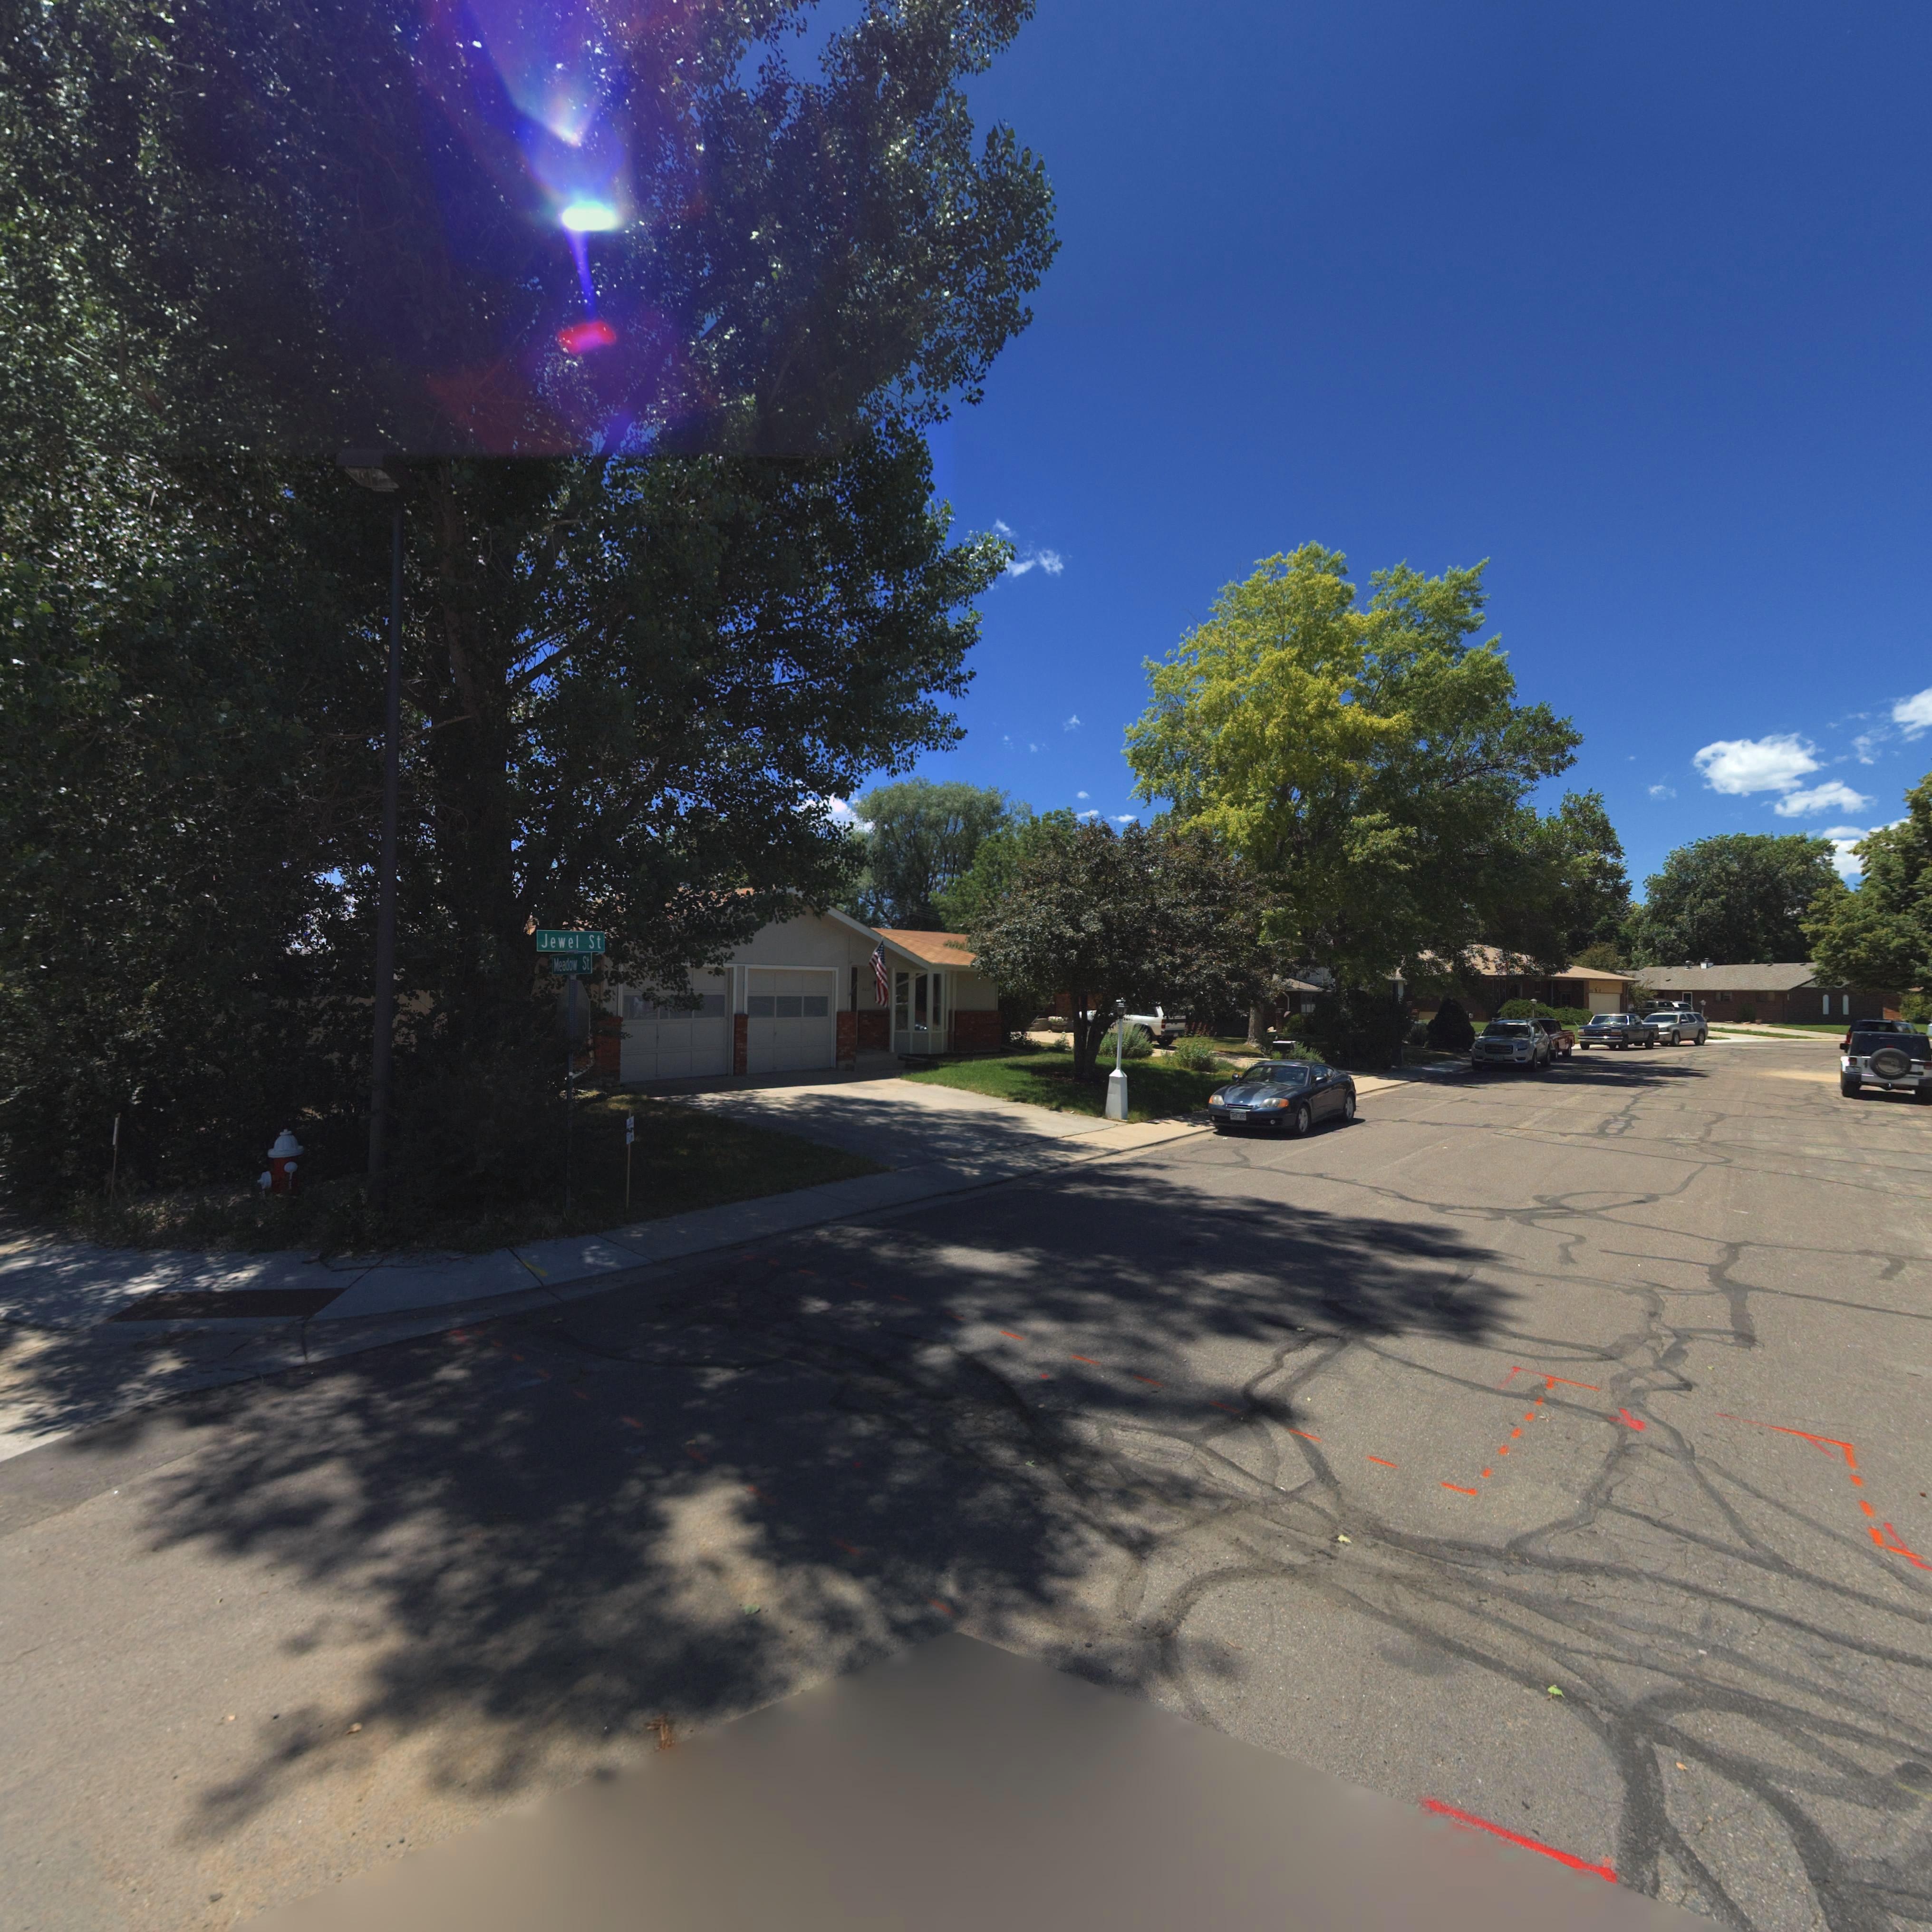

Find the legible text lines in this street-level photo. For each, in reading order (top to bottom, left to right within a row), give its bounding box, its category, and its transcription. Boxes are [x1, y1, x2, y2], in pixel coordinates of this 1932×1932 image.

[540, 933, 601, 949] StreetName: Jewel St
[553, 955, 589, 972] StreetName: Meadow St
[860, 986, 872, 991] StreetNumber: 2***